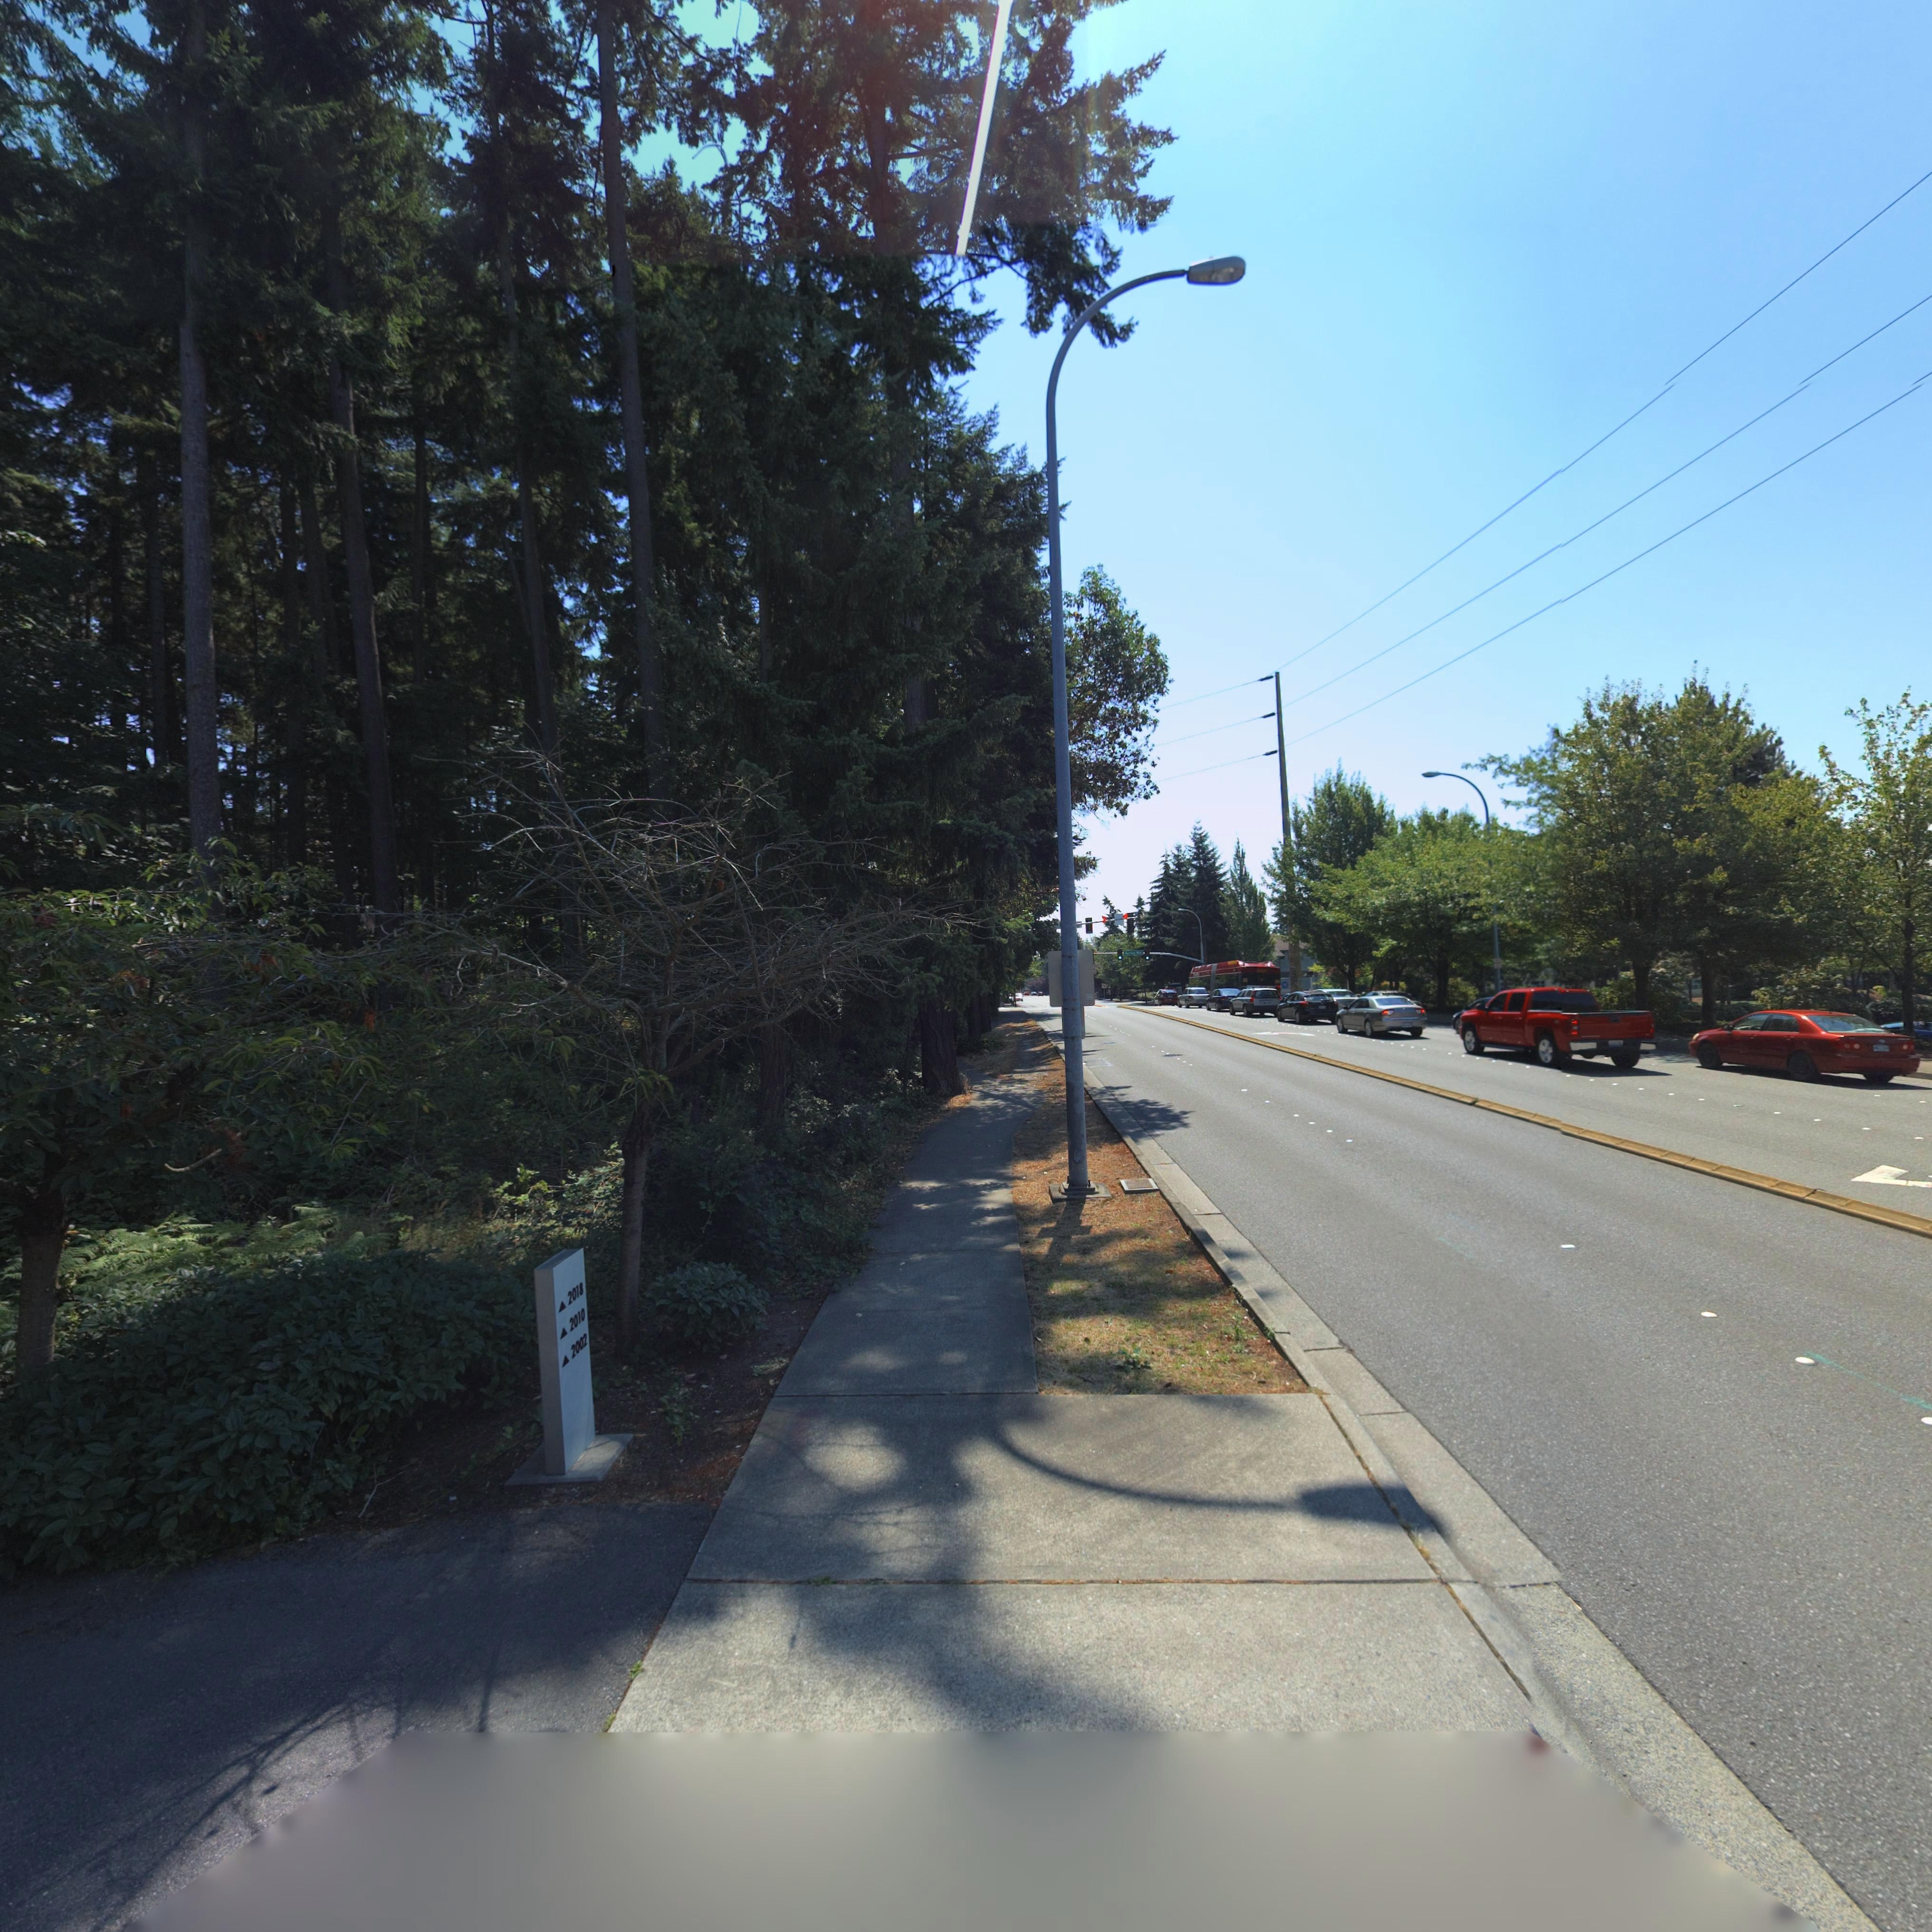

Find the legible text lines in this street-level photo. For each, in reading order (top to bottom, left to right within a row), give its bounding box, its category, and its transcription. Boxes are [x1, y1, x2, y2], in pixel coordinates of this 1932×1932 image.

[565, 1280, 585, 1307] StreetNumber: 2018
[569, 1305, 587, 1333] StreetNumber: 2010
[570, 1330, 589, 1360] StreetNumber: 2002